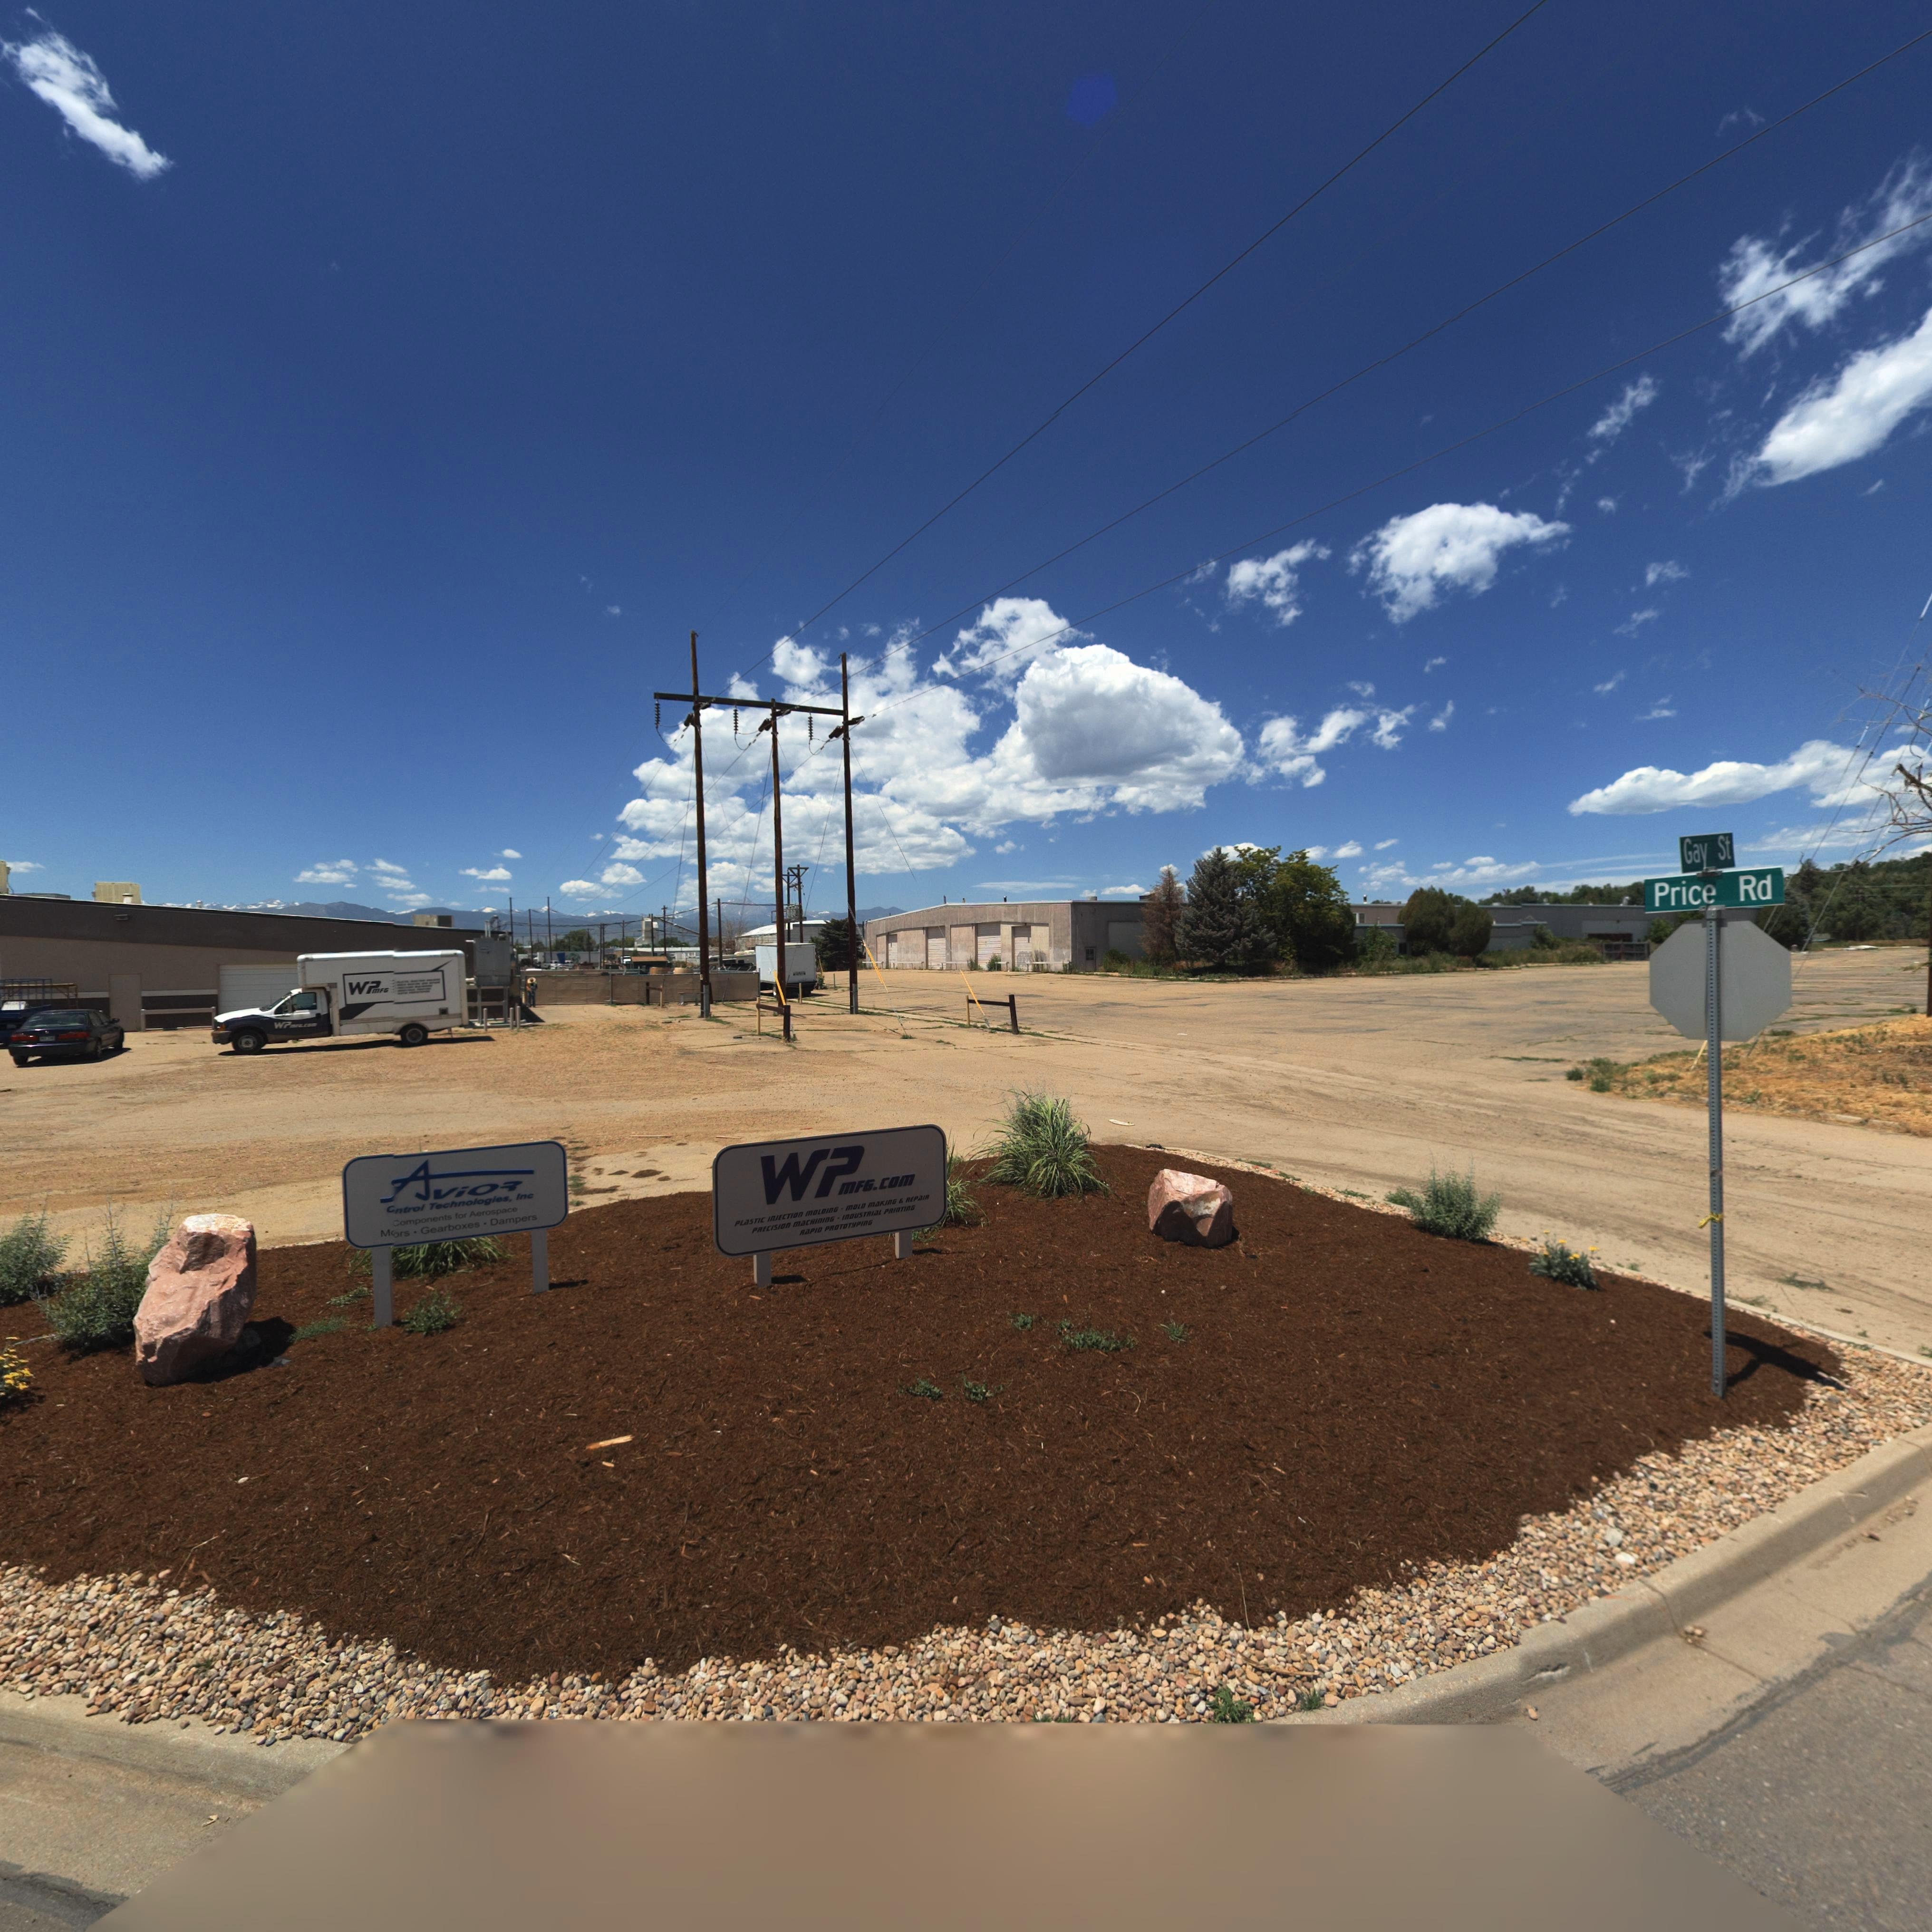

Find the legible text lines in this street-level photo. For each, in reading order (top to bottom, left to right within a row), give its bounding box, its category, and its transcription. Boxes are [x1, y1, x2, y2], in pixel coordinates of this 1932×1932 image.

[1683, 834, 1731, 869] StreetName: Gay St
[1654, 873, 1772, 907] StreetName: Price Rd
[379, 1158, 431, 1203] BusinessName: A
[386, 1192, 534, 1214] BusinessName: Cntrol Technologies, Inc
[432, 1180, 523, 1200] BusinessName: vio*